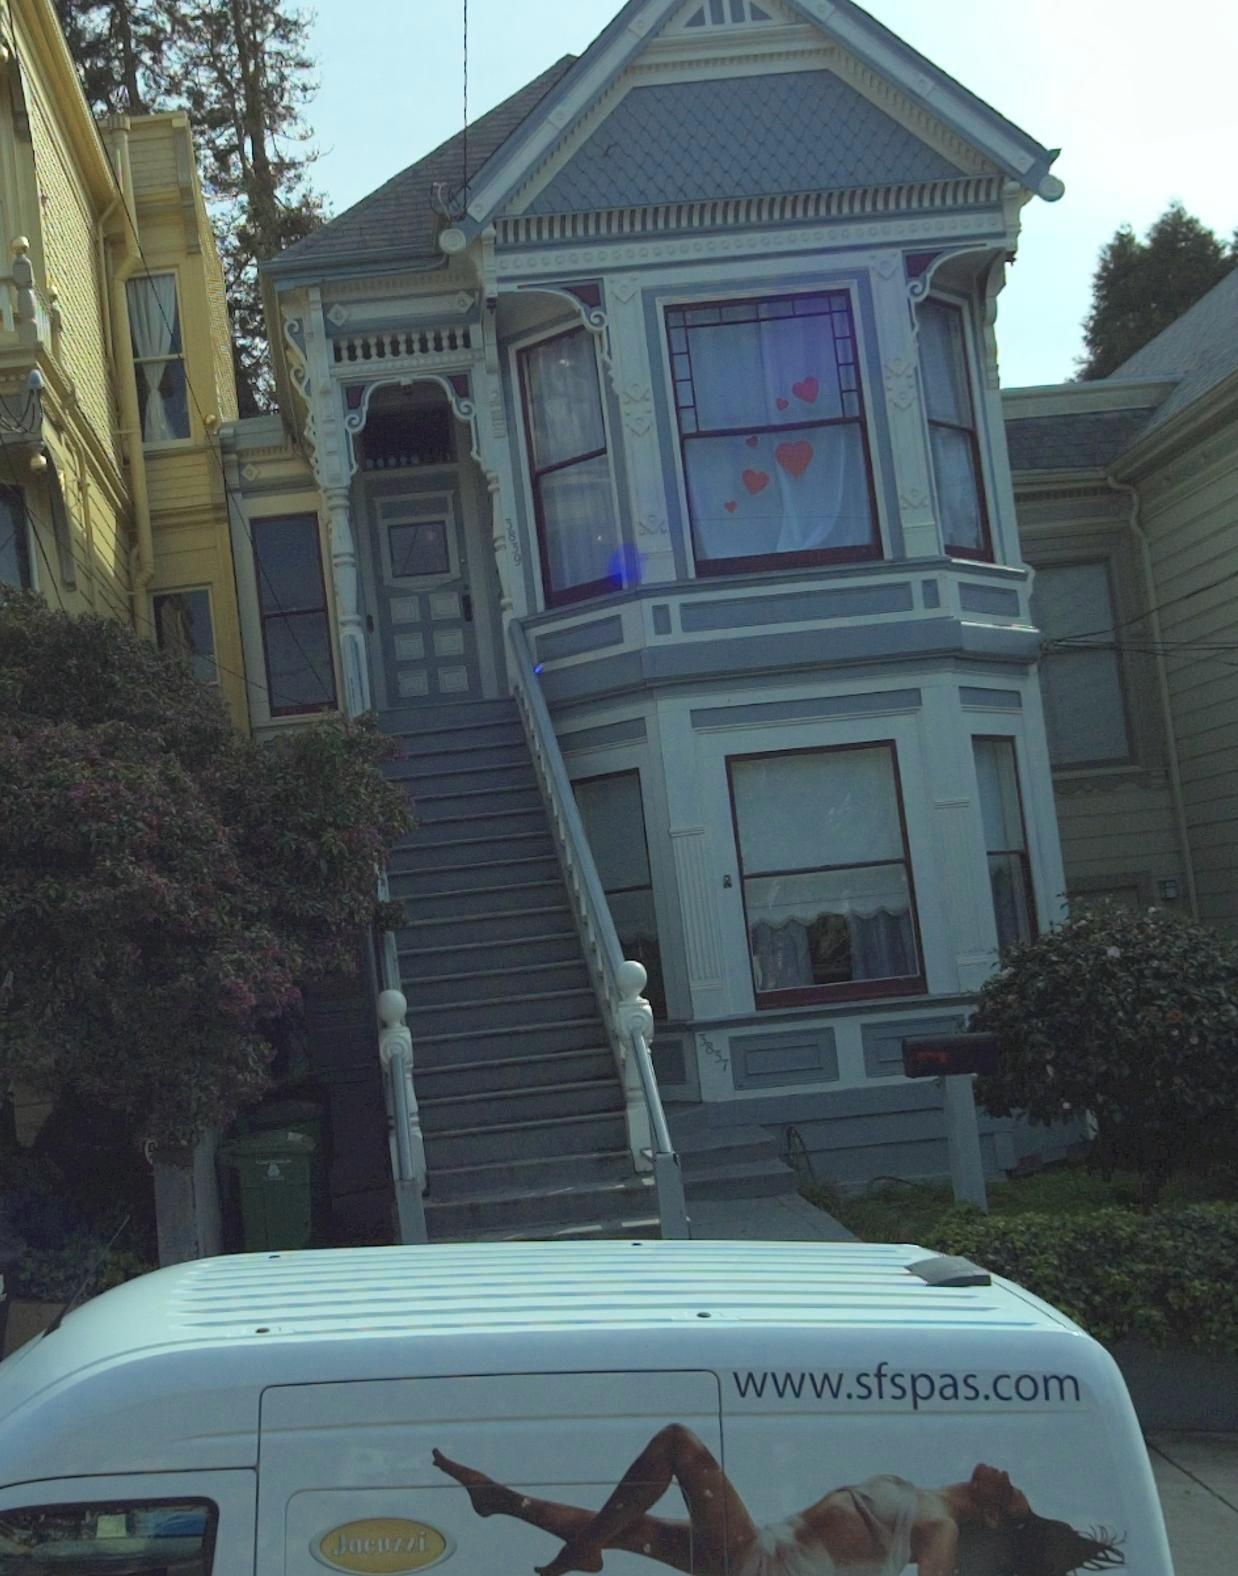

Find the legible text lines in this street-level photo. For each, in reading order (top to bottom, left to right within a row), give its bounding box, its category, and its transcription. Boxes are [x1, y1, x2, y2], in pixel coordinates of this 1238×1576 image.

[503, 517, 524, 569] StreetNumber: 3839
[697, 1031, 731, 1077] StreetNumber: 3837
[730, 1360, 1085, 1412] None: www.sfspas.com
[331, 1528, 428, 1557] None: Jacuzzi